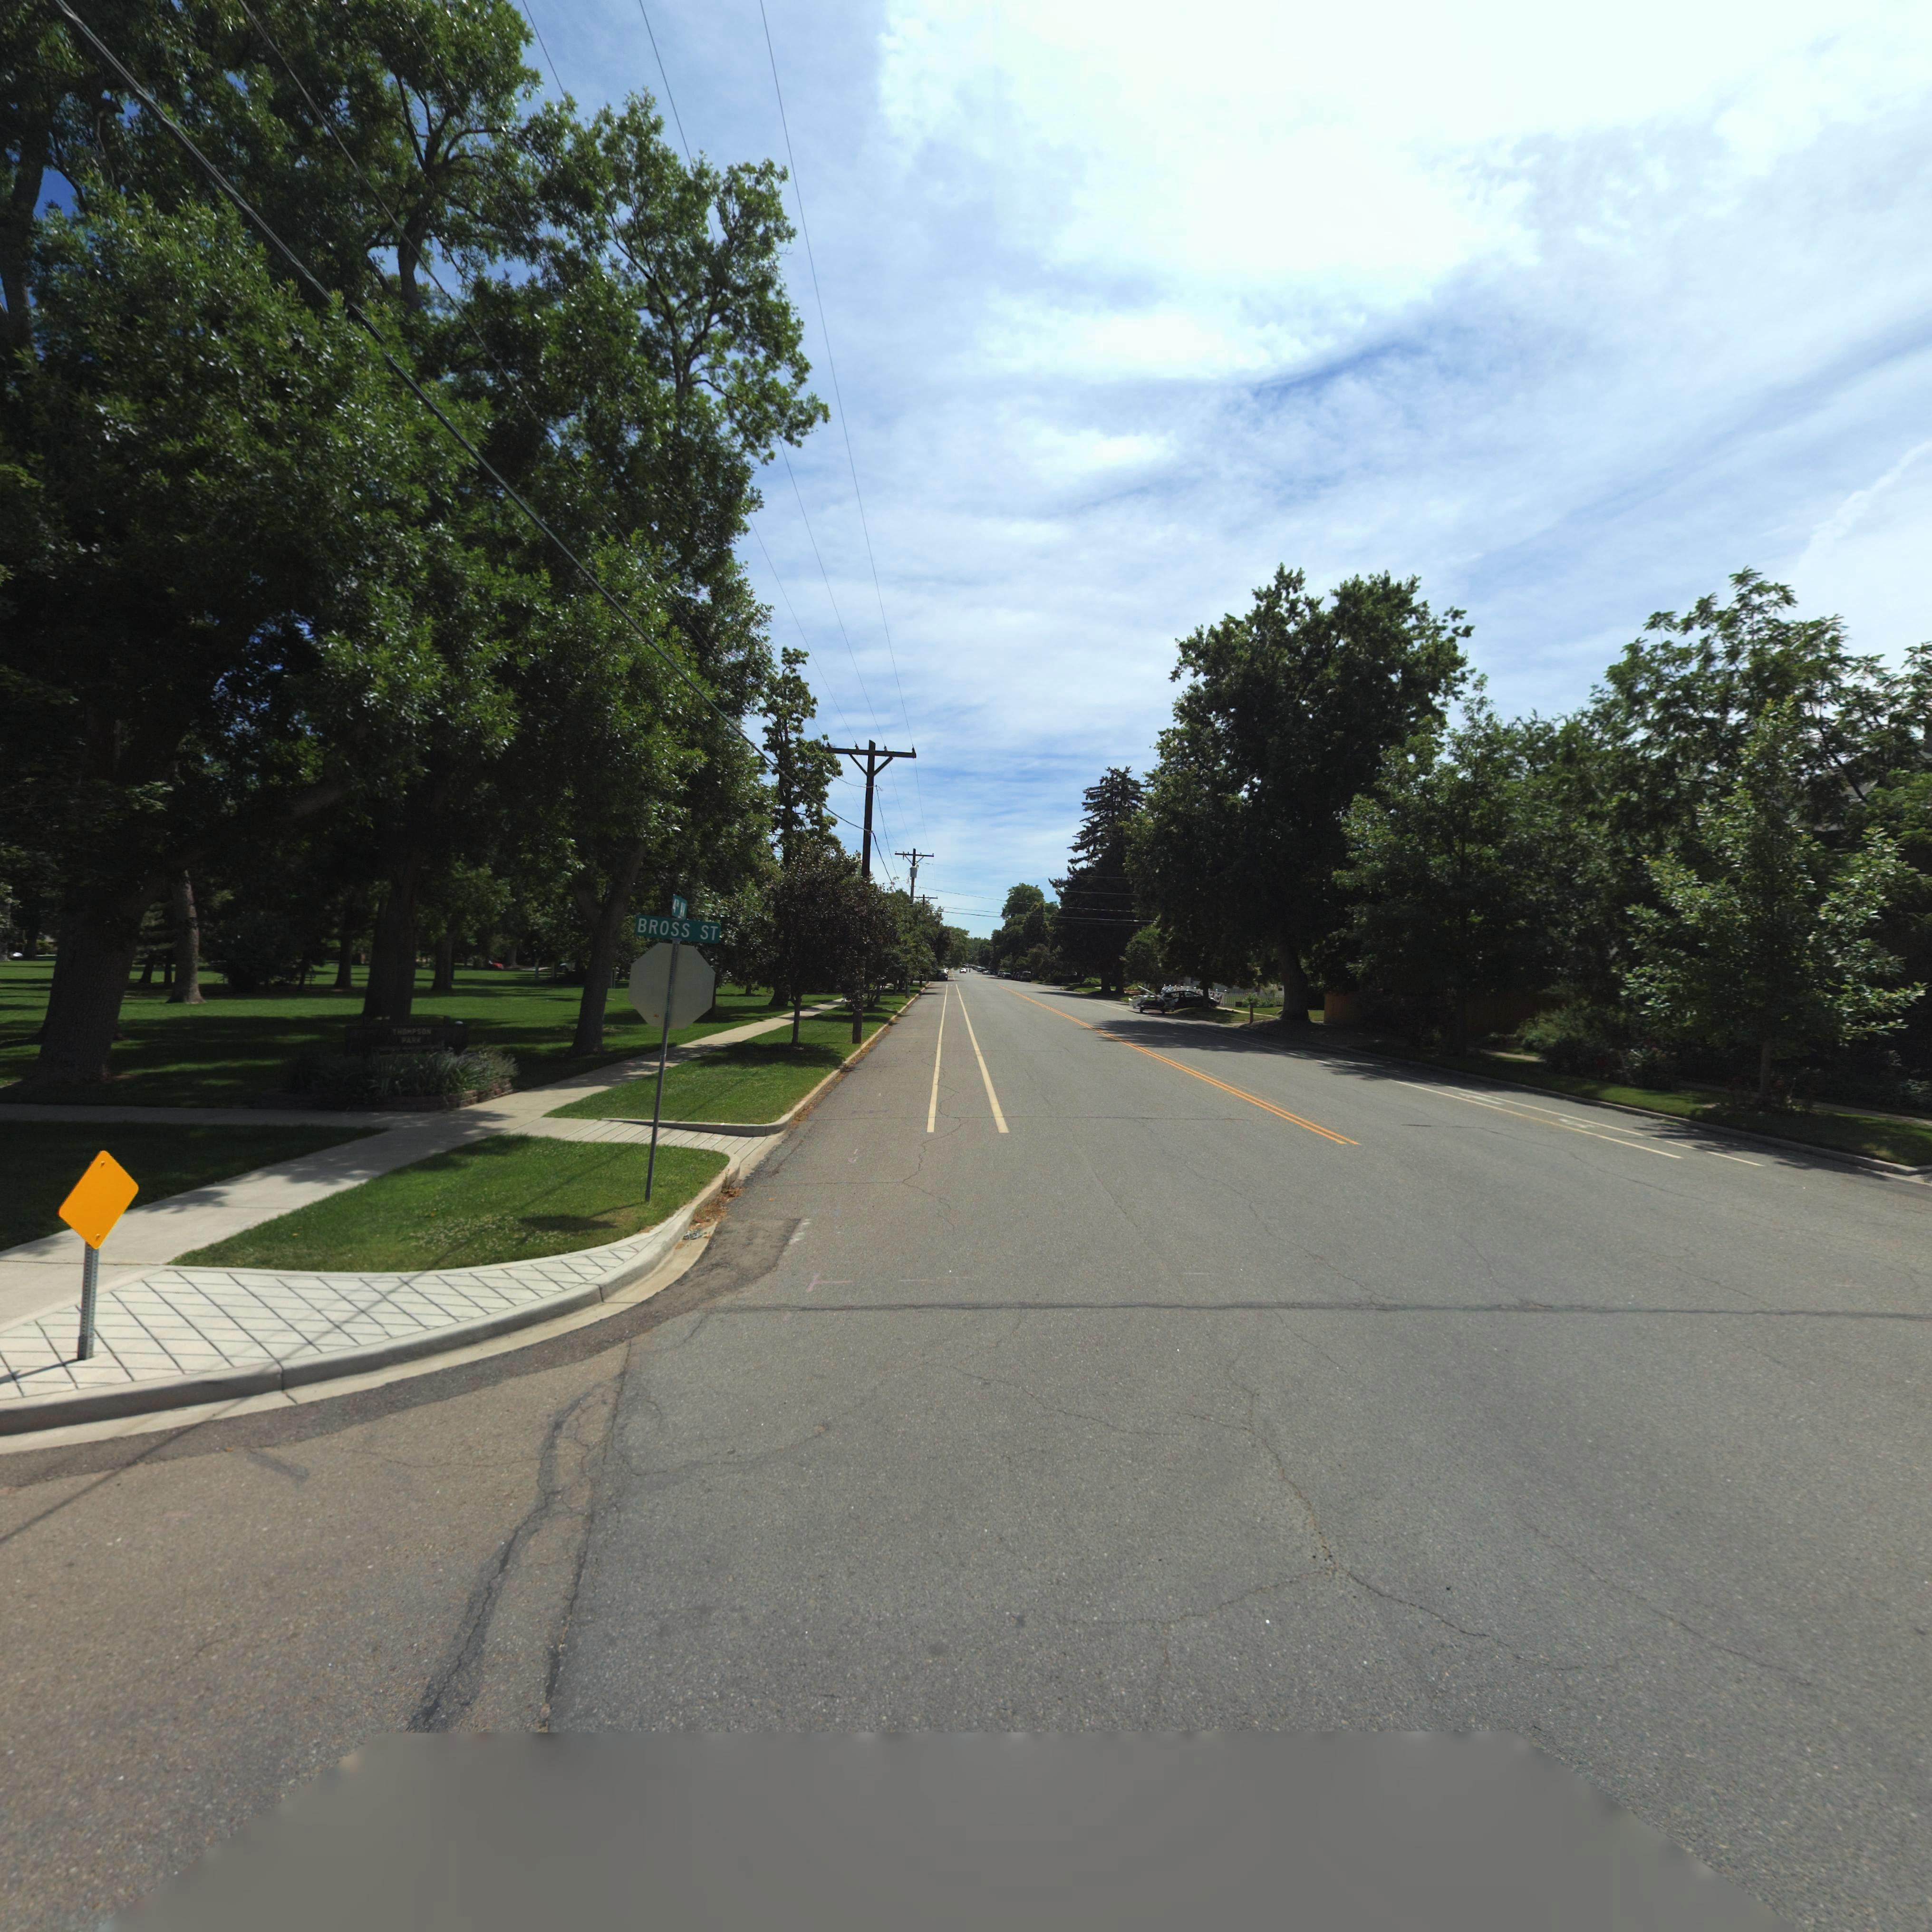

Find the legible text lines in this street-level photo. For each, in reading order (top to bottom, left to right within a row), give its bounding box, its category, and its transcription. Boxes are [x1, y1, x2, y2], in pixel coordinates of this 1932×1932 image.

[671, 897, 687, 918] StreetName: 4TH AV
[636, 917, 718, 942] StreetName: BROSS ST